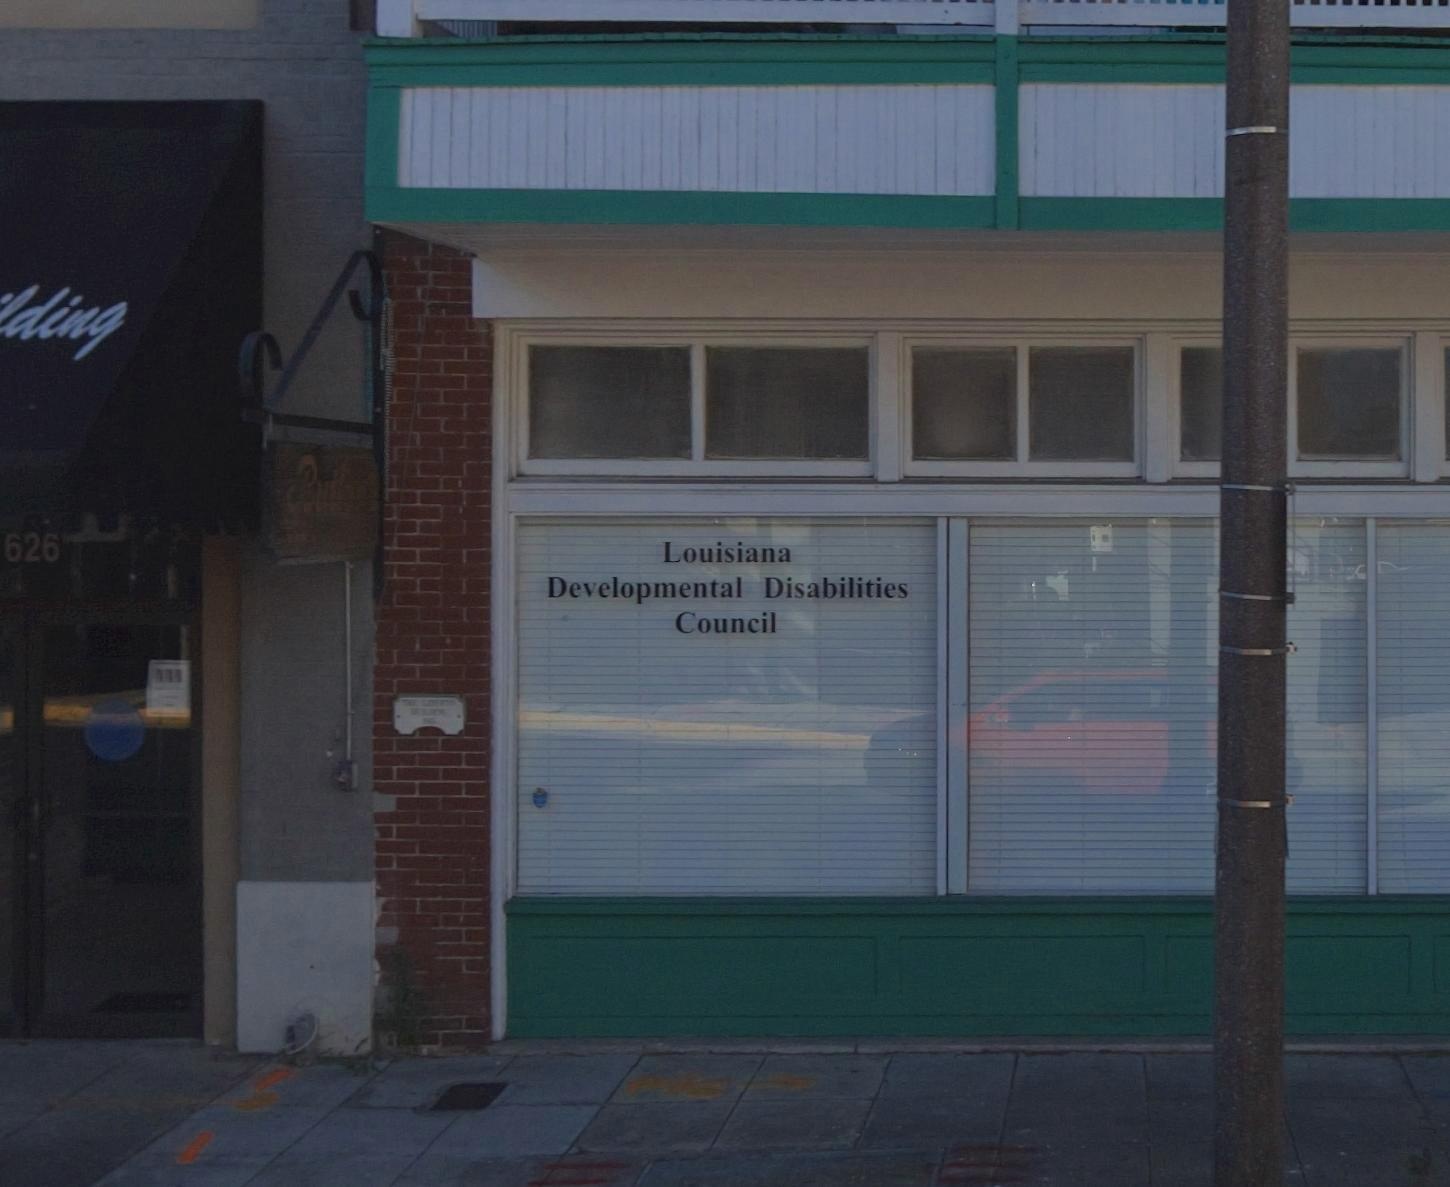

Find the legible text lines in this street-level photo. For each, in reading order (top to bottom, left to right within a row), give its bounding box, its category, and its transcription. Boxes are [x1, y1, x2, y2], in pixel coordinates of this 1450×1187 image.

[3, 284, 132, 364] BusinessName: ding
[1, 529, 65, 565] StreetNumber: 626
[660, 538, 793, 565] BusinessName: Louisiana
[545, 574, 910, 606] BusinessName: Developmental Disabilities
[673, 608, 779, 635] BusinessName: Council